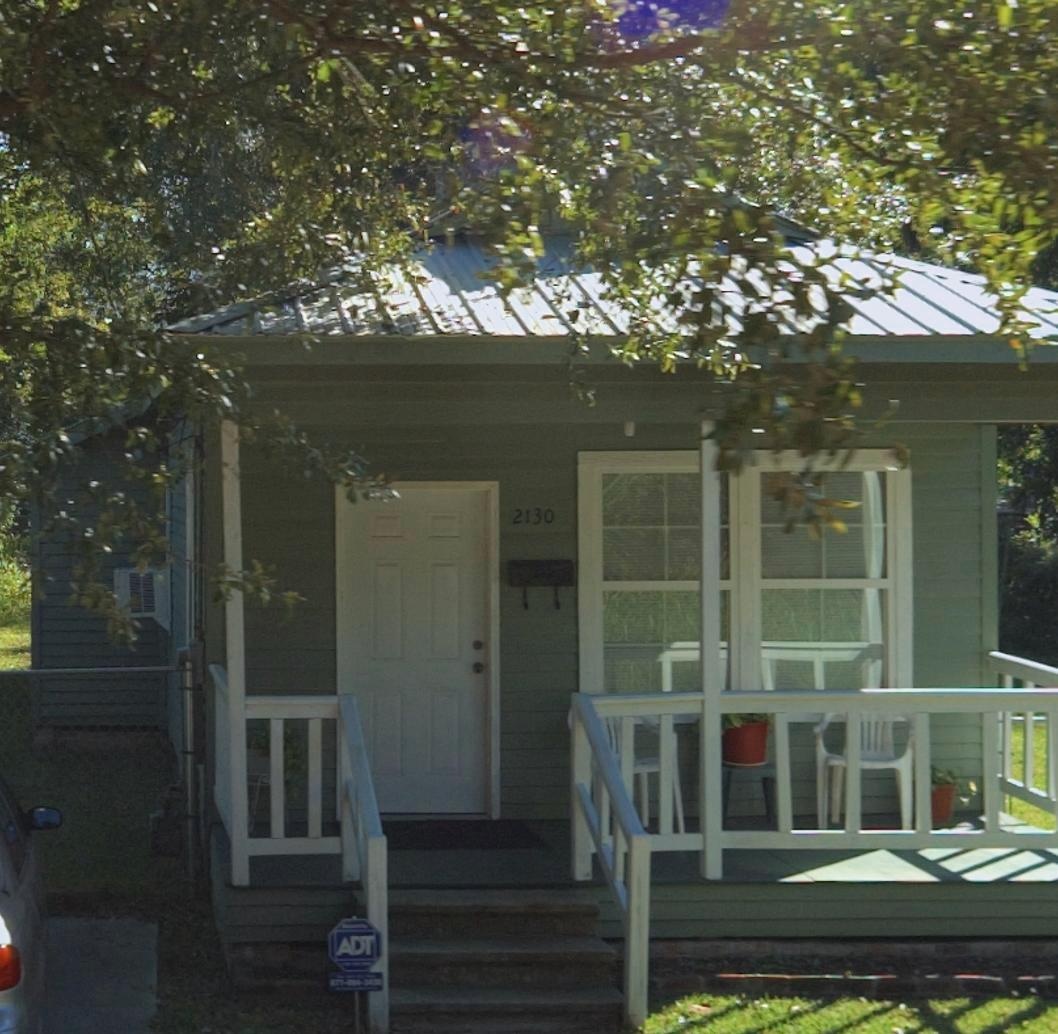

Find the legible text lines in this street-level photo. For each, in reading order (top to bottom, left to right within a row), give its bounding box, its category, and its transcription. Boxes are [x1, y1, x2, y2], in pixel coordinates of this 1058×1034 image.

[511, 505, 556, 526] StreetNumber: 2130
[335, 931, 375, 958] BusinessName: ADT